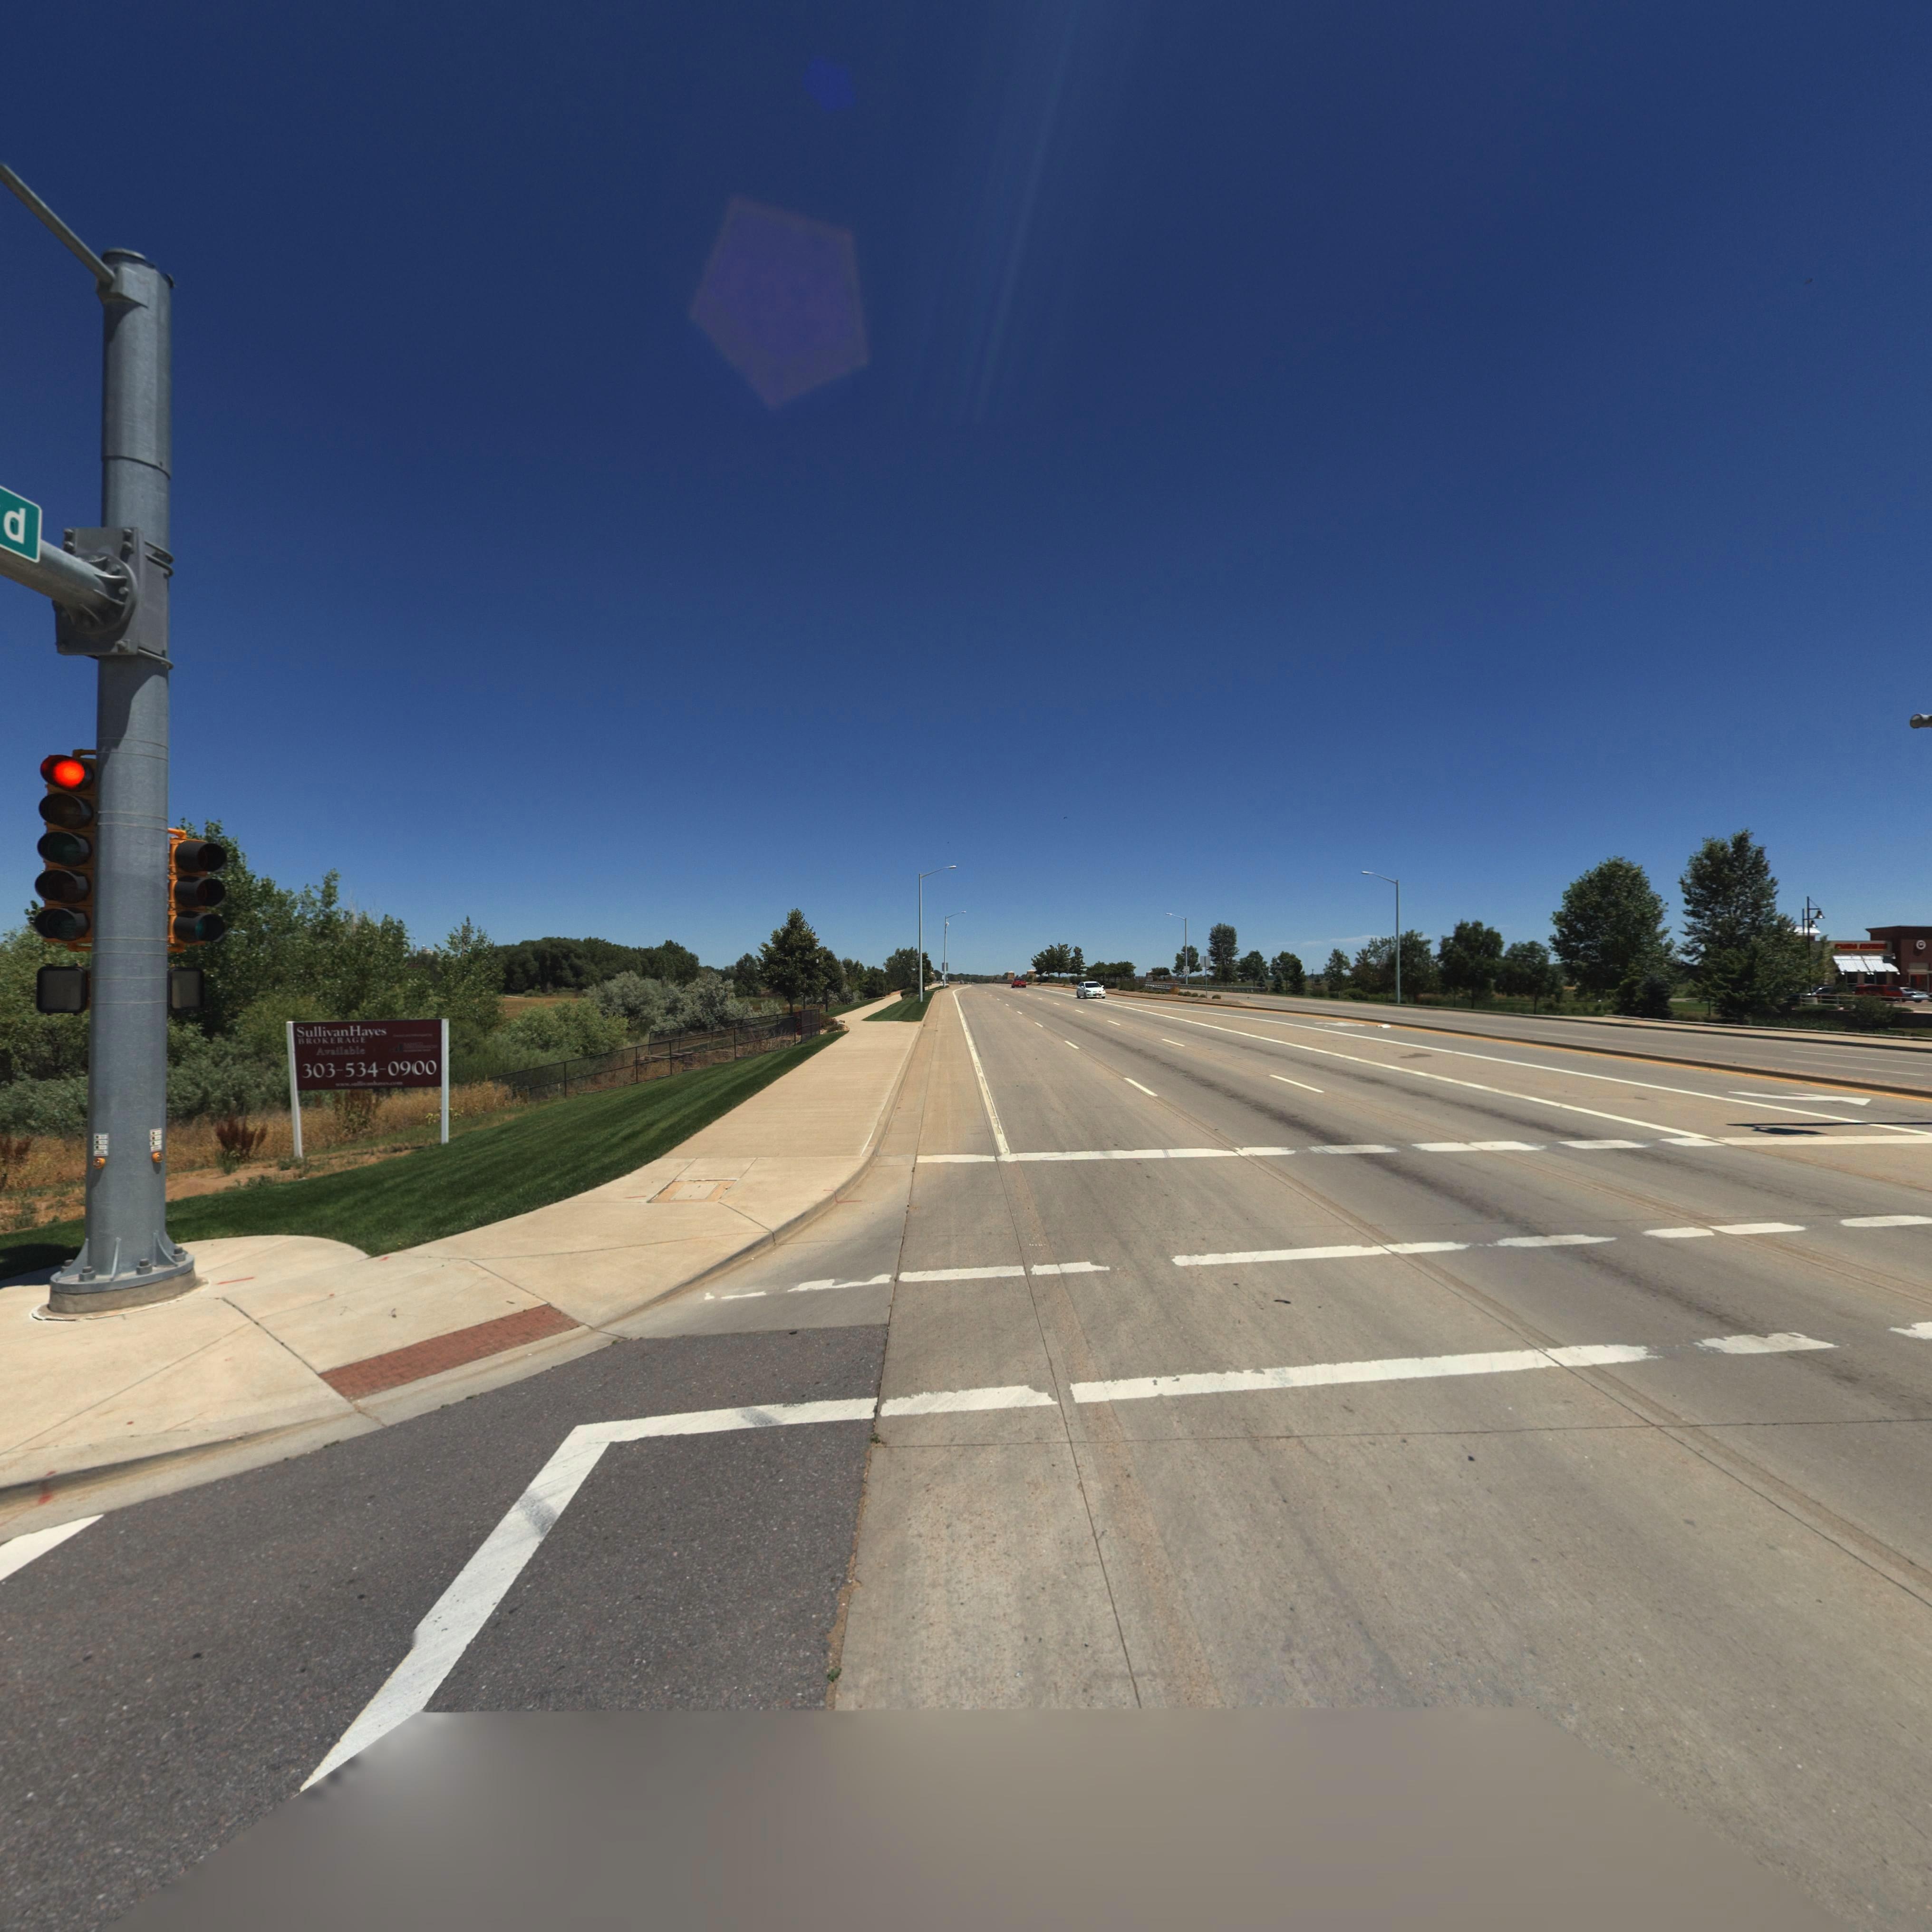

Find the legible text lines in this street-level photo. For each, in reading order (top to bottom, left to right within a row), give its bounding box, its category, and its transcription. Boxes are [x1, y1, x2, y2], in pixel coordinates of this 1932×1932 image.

[2, 507, 26, 545] StreetName: d
[1834, 943, 1888, 949] BusinessName: PANDA EXPRESS